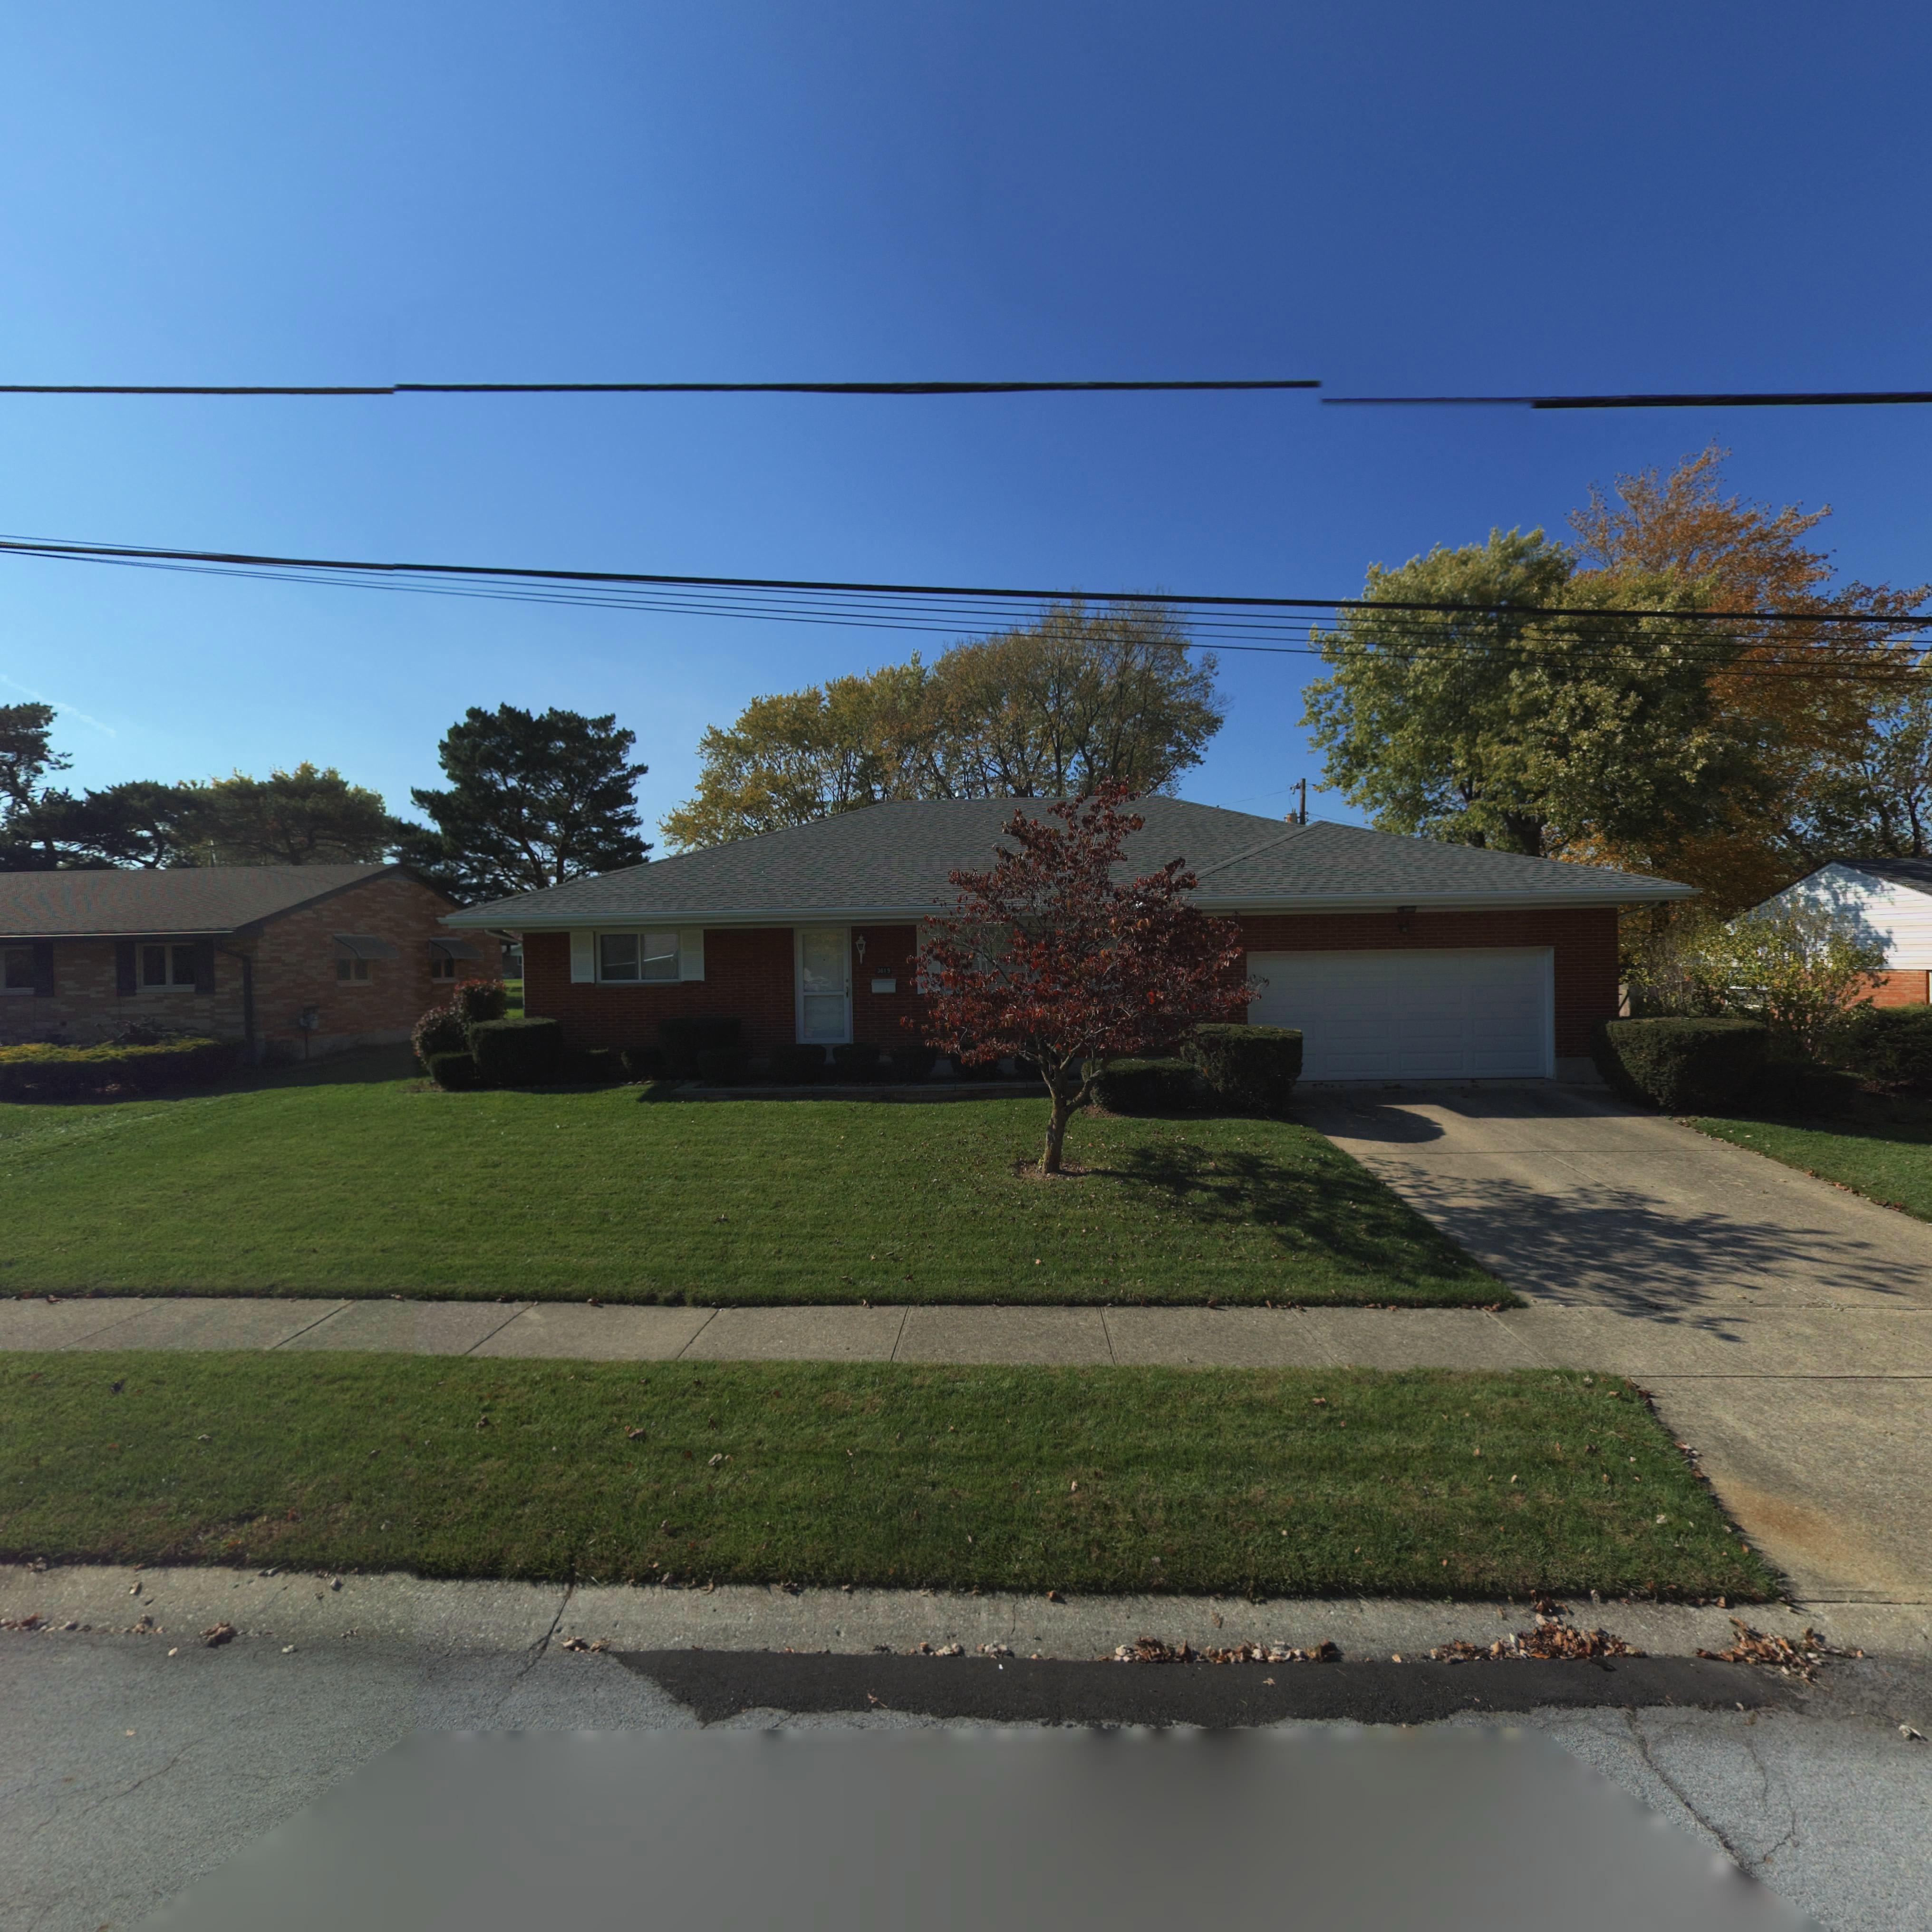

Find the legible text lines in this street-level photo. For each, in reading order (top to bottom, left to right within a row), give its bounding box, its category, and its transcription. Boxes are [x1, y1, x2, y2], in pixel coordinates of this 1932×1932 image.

[877, 967, 890, 974] StreetNumber: 3619